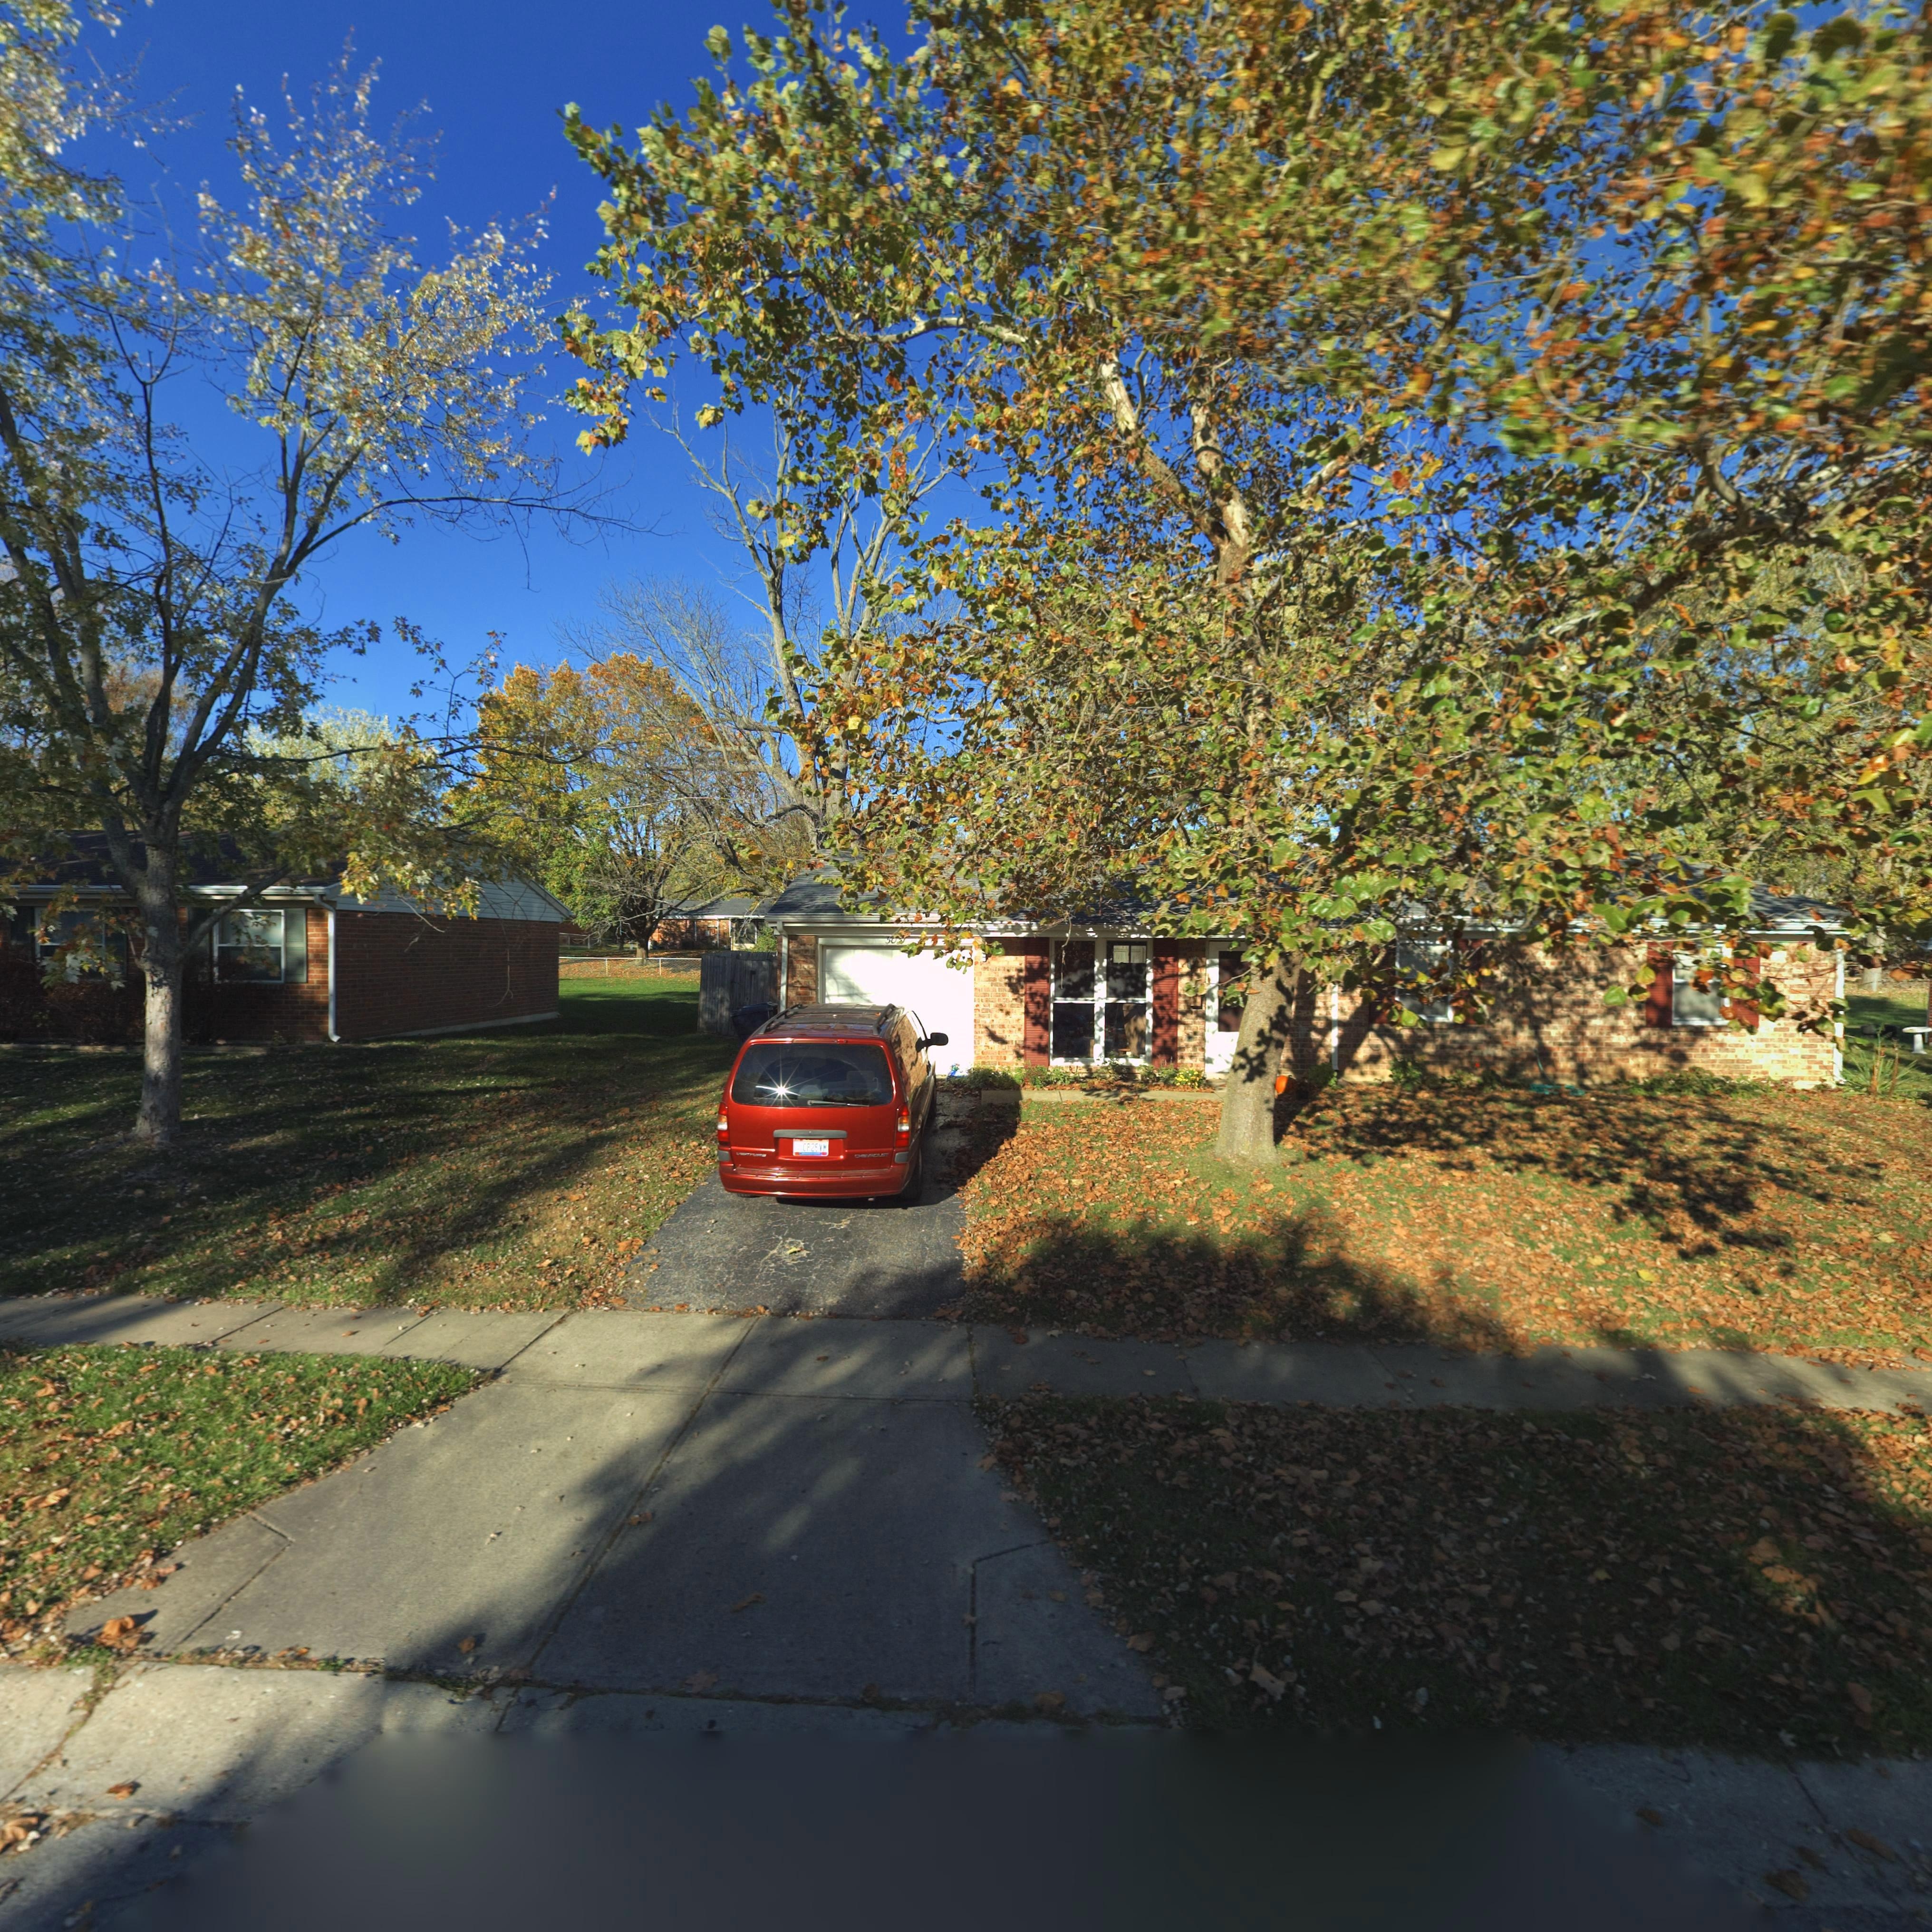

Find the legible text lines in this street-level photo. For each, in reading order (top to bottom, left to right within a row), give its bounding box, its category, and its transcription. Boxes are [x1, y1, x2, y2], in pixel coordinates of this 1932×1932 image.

[885, 936, 897, 944] StreetNumber: 50